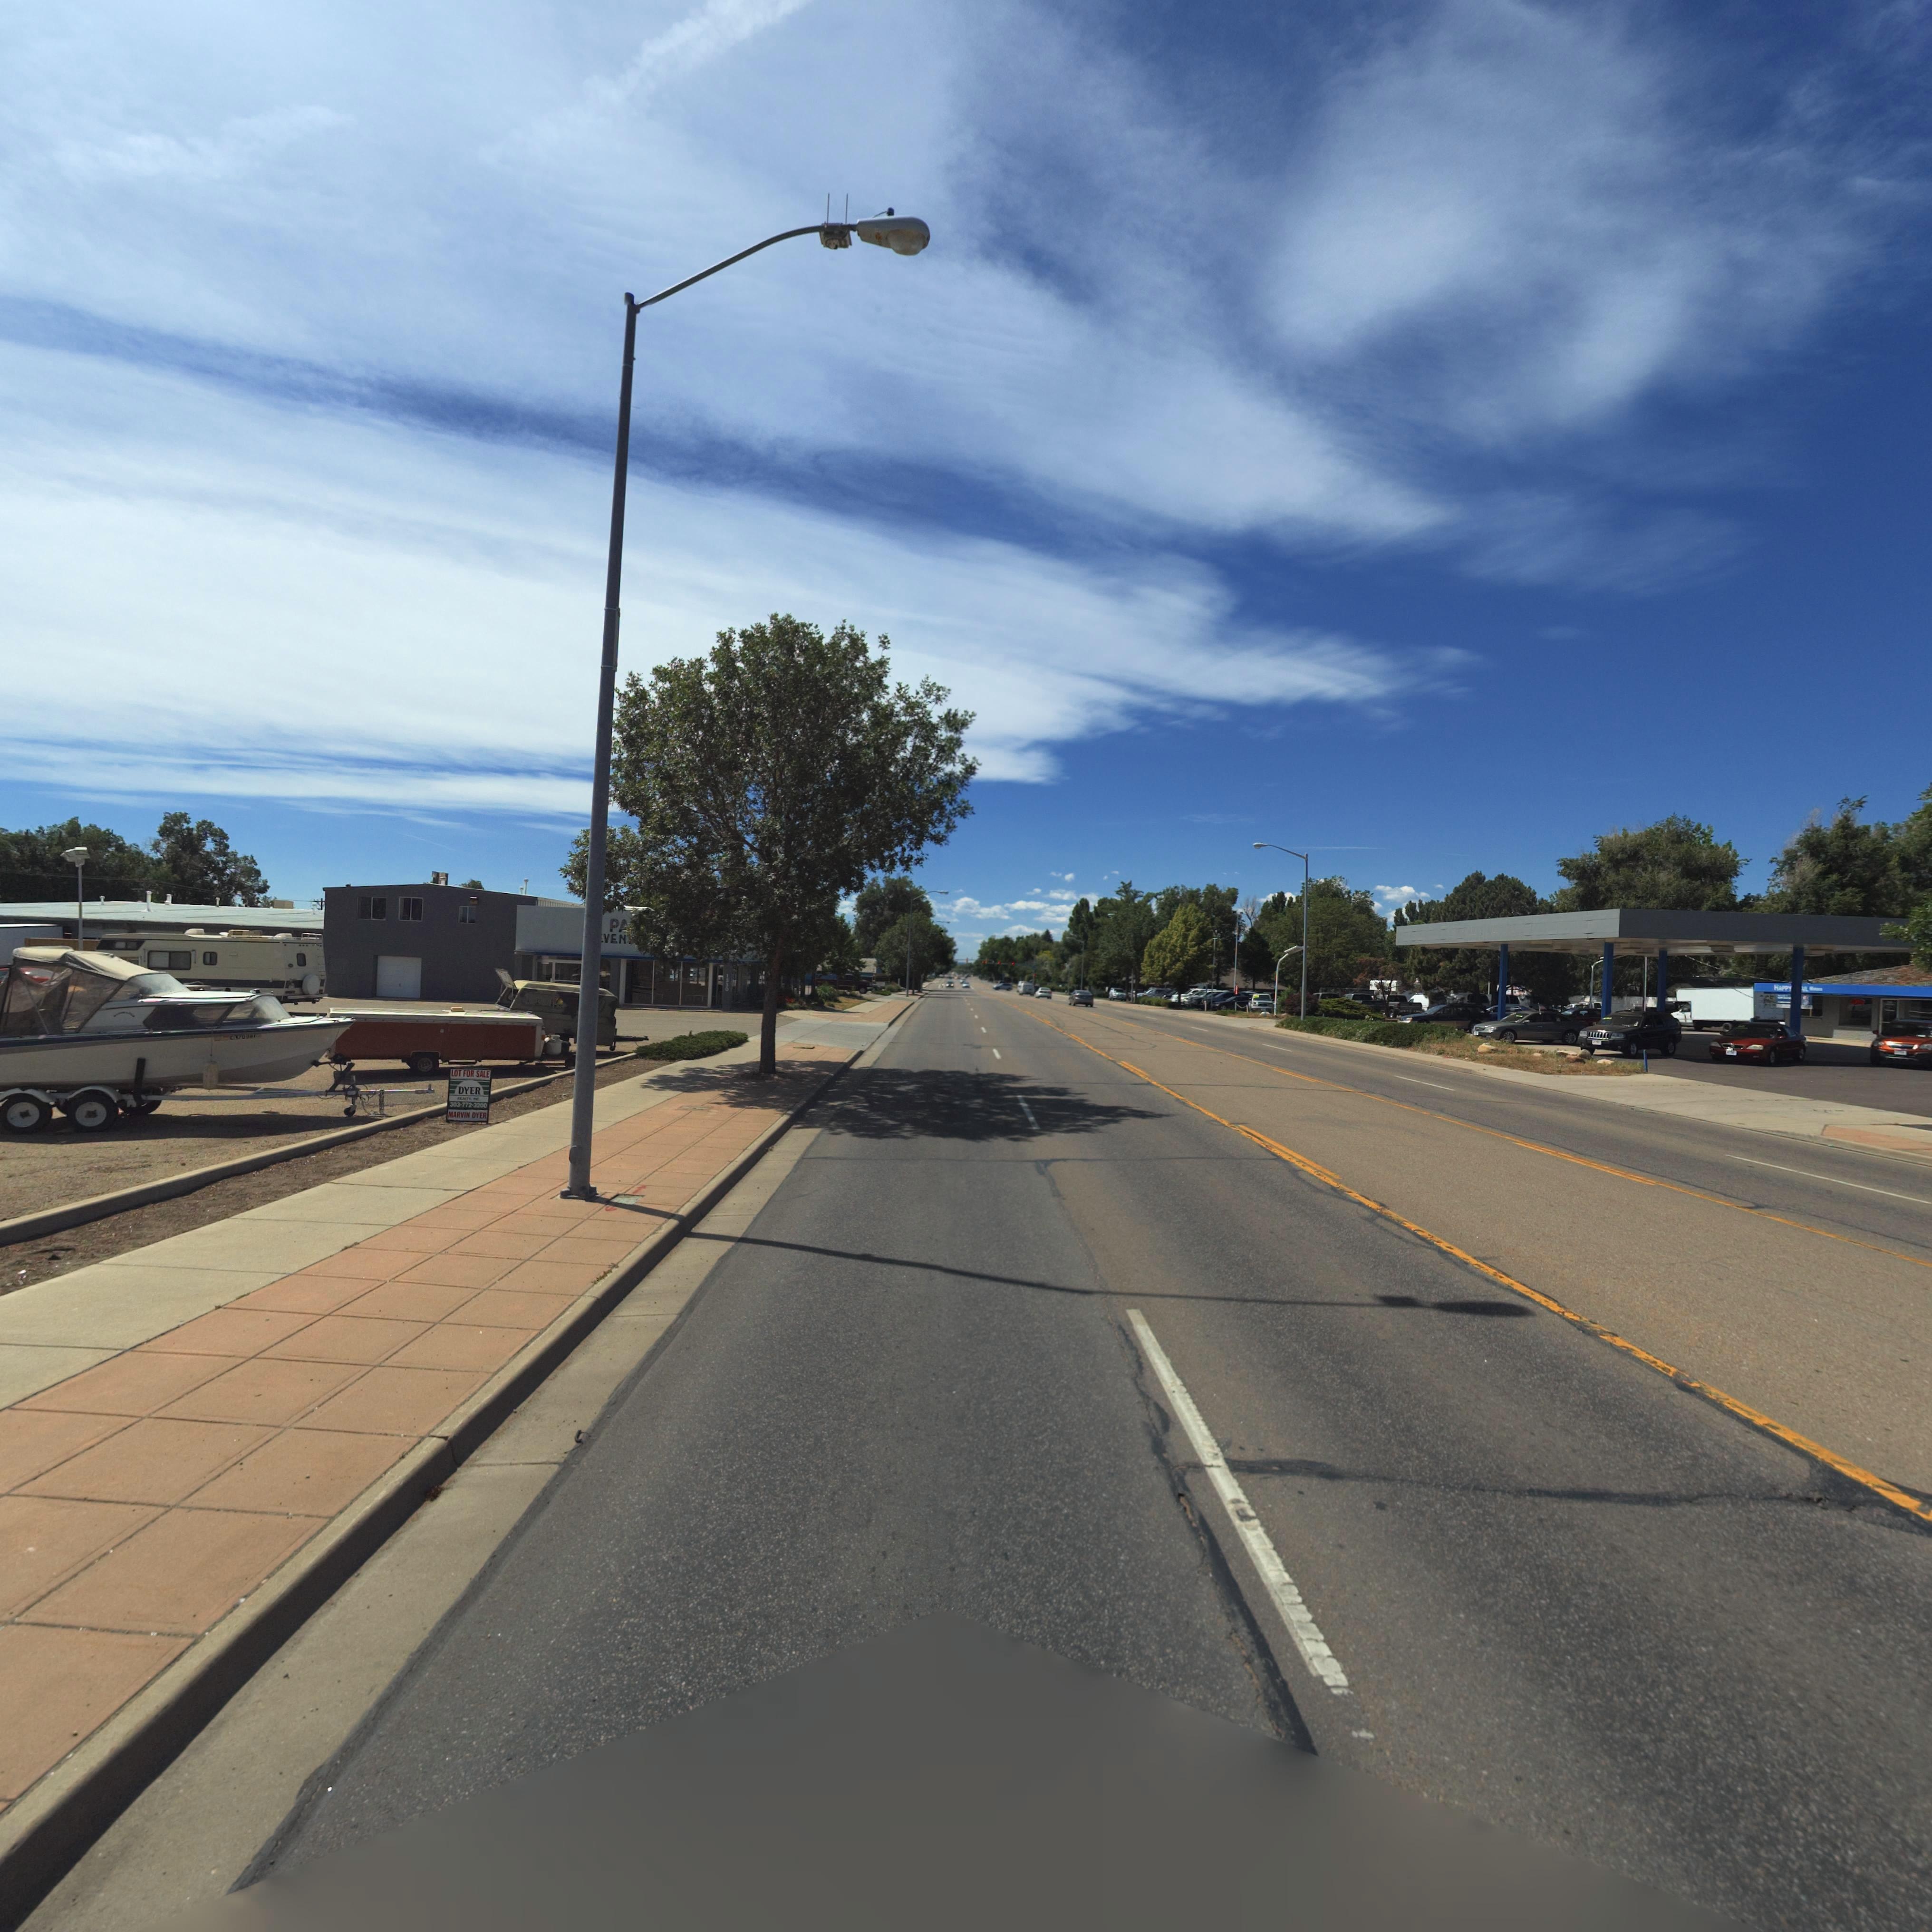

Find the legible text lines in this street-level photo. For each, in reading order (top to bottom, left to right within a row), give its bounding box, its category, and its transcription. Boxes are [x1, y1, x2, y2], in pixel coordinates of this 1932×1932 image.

[609, 918, 630, 933] BusinessName: PA
[602, 933, 627, 944] BusinessName: VEN
[724, 973, 729, 991] StreetNumber: 1330
[1774, 984, 1809, 992] BusinessName: HAPP* RS